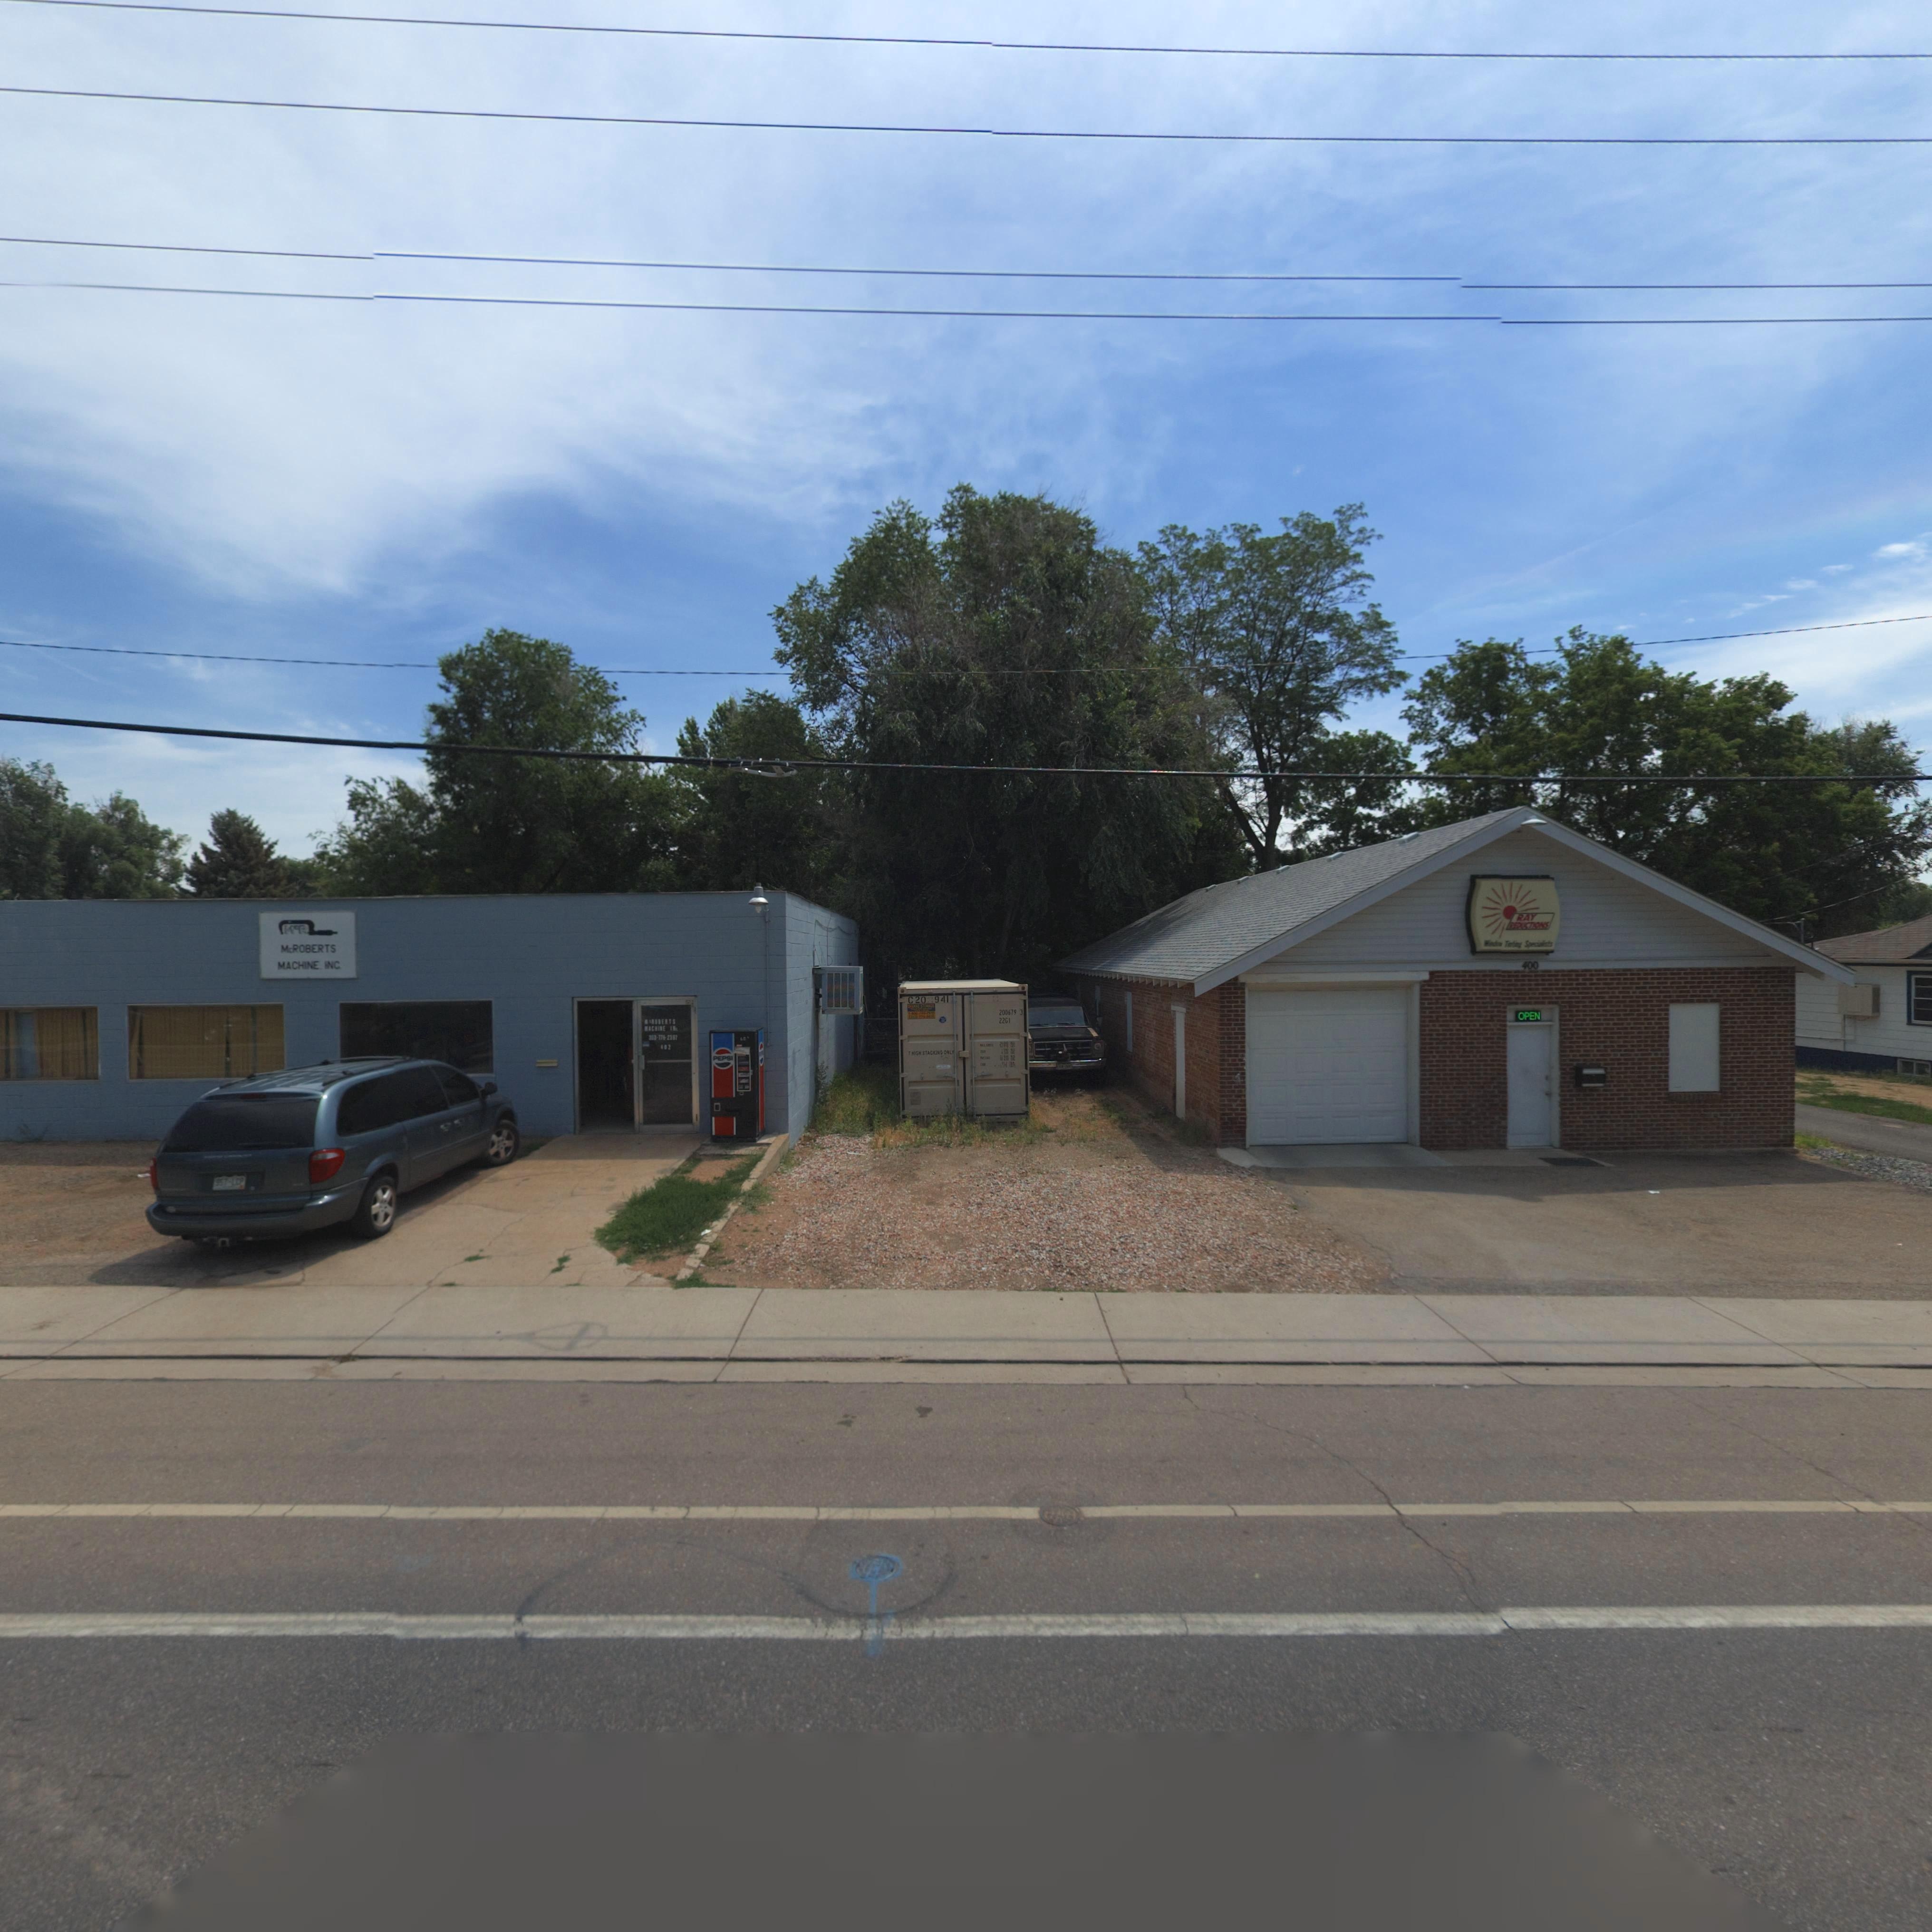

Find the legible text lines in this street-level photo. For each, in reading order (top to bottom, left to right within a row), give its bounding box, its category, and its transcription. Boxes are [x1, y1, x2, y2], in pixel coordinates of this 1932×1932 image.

[1516, 913, 1538, 921] BusinessName: RAY
[284, 925, 307, 934] BusinessName: M*R
[1508, 921, 1550, 929] BusinessName: ***C**ONS
[280, 944, 336, 953] BusinessName: McROBERTS
[277, 960, 341, 970] BusinessName: MACHINE INC
[1521, 960, 1539, 970] StreetNumber: 400
[644, 1018, 676, 1025] BusinessName: **R*BE*TS
[644, 1025, 678, 1031] BusinessName: **CHI*E I**
[660, 1044, 671, 1050] StreetNumber: 4*2